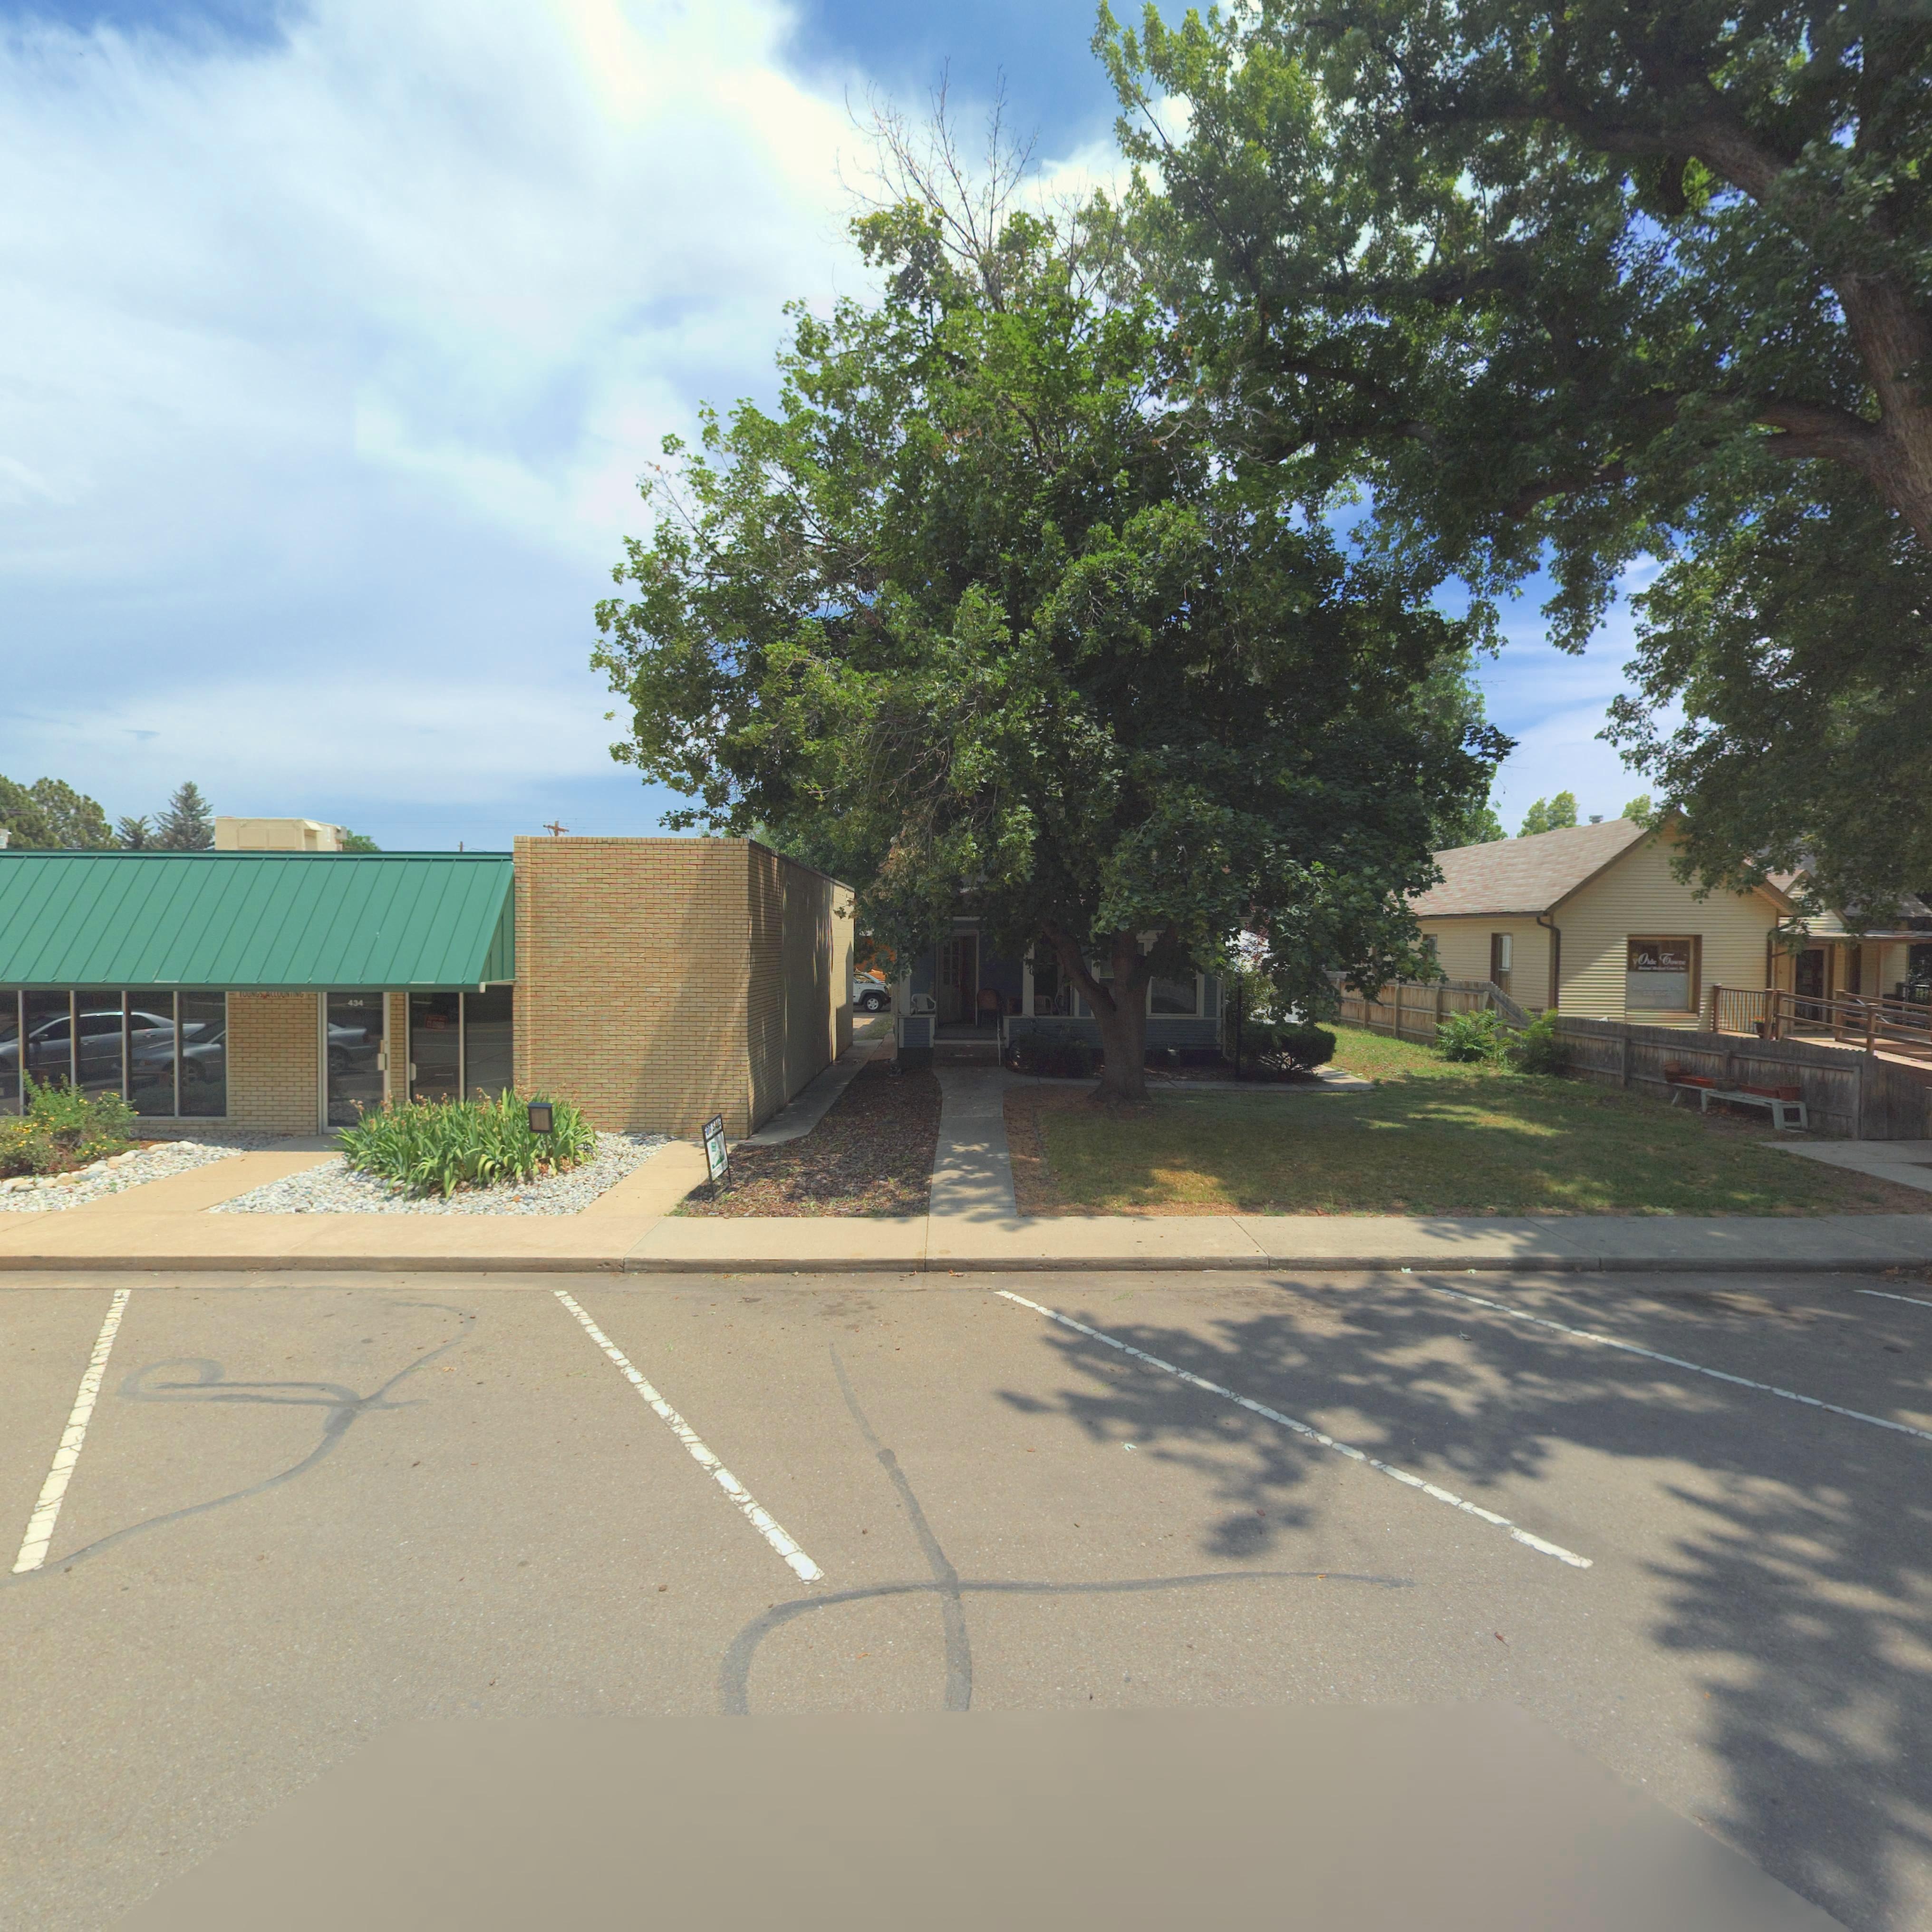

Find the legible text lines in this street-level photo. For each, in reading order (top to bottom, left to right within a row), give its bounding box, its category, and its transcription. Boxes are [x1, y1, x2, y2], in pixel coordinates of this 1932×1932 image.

[1637, 952, 1687, 965] BusinessName: Olde Towne
[347, 999, 364, 1006] StreetNumber: 434